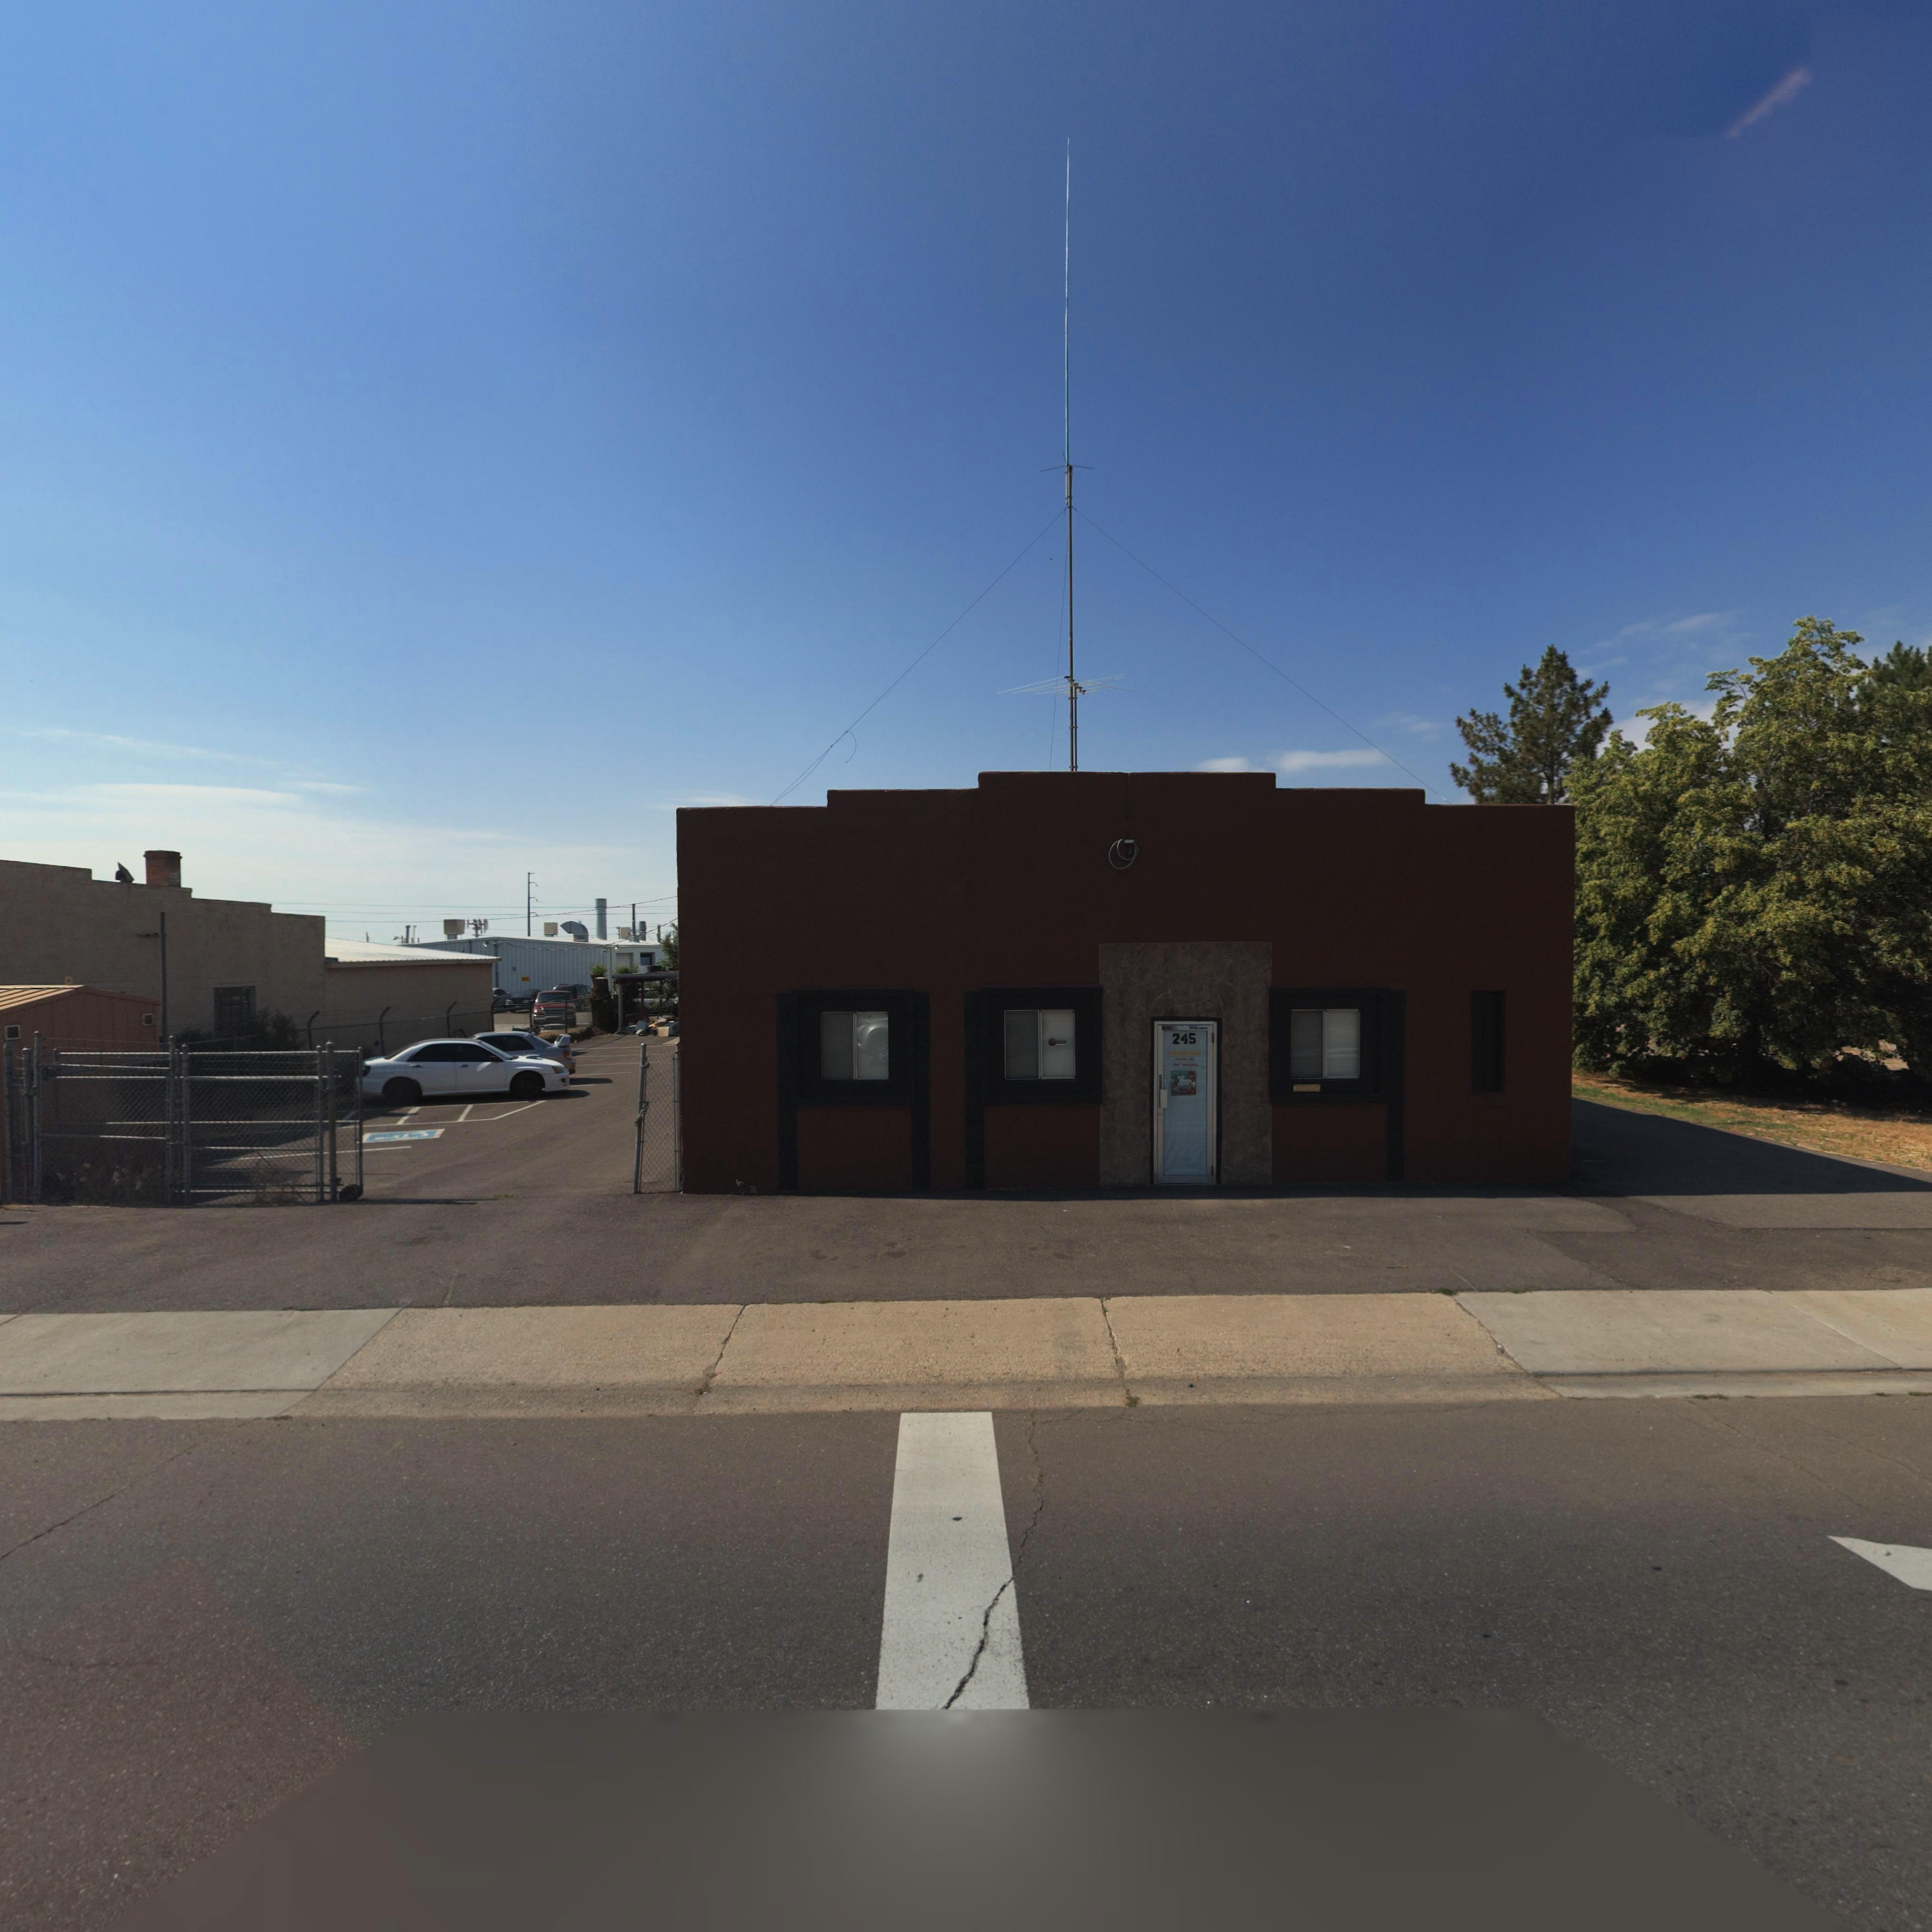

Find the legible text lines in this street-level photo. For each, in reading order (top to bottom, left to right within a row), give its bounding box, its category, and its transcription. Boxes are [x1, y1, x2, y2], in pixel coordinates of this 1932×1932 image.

[1172, 1032, 1197, 1044] StreetNumber: 245